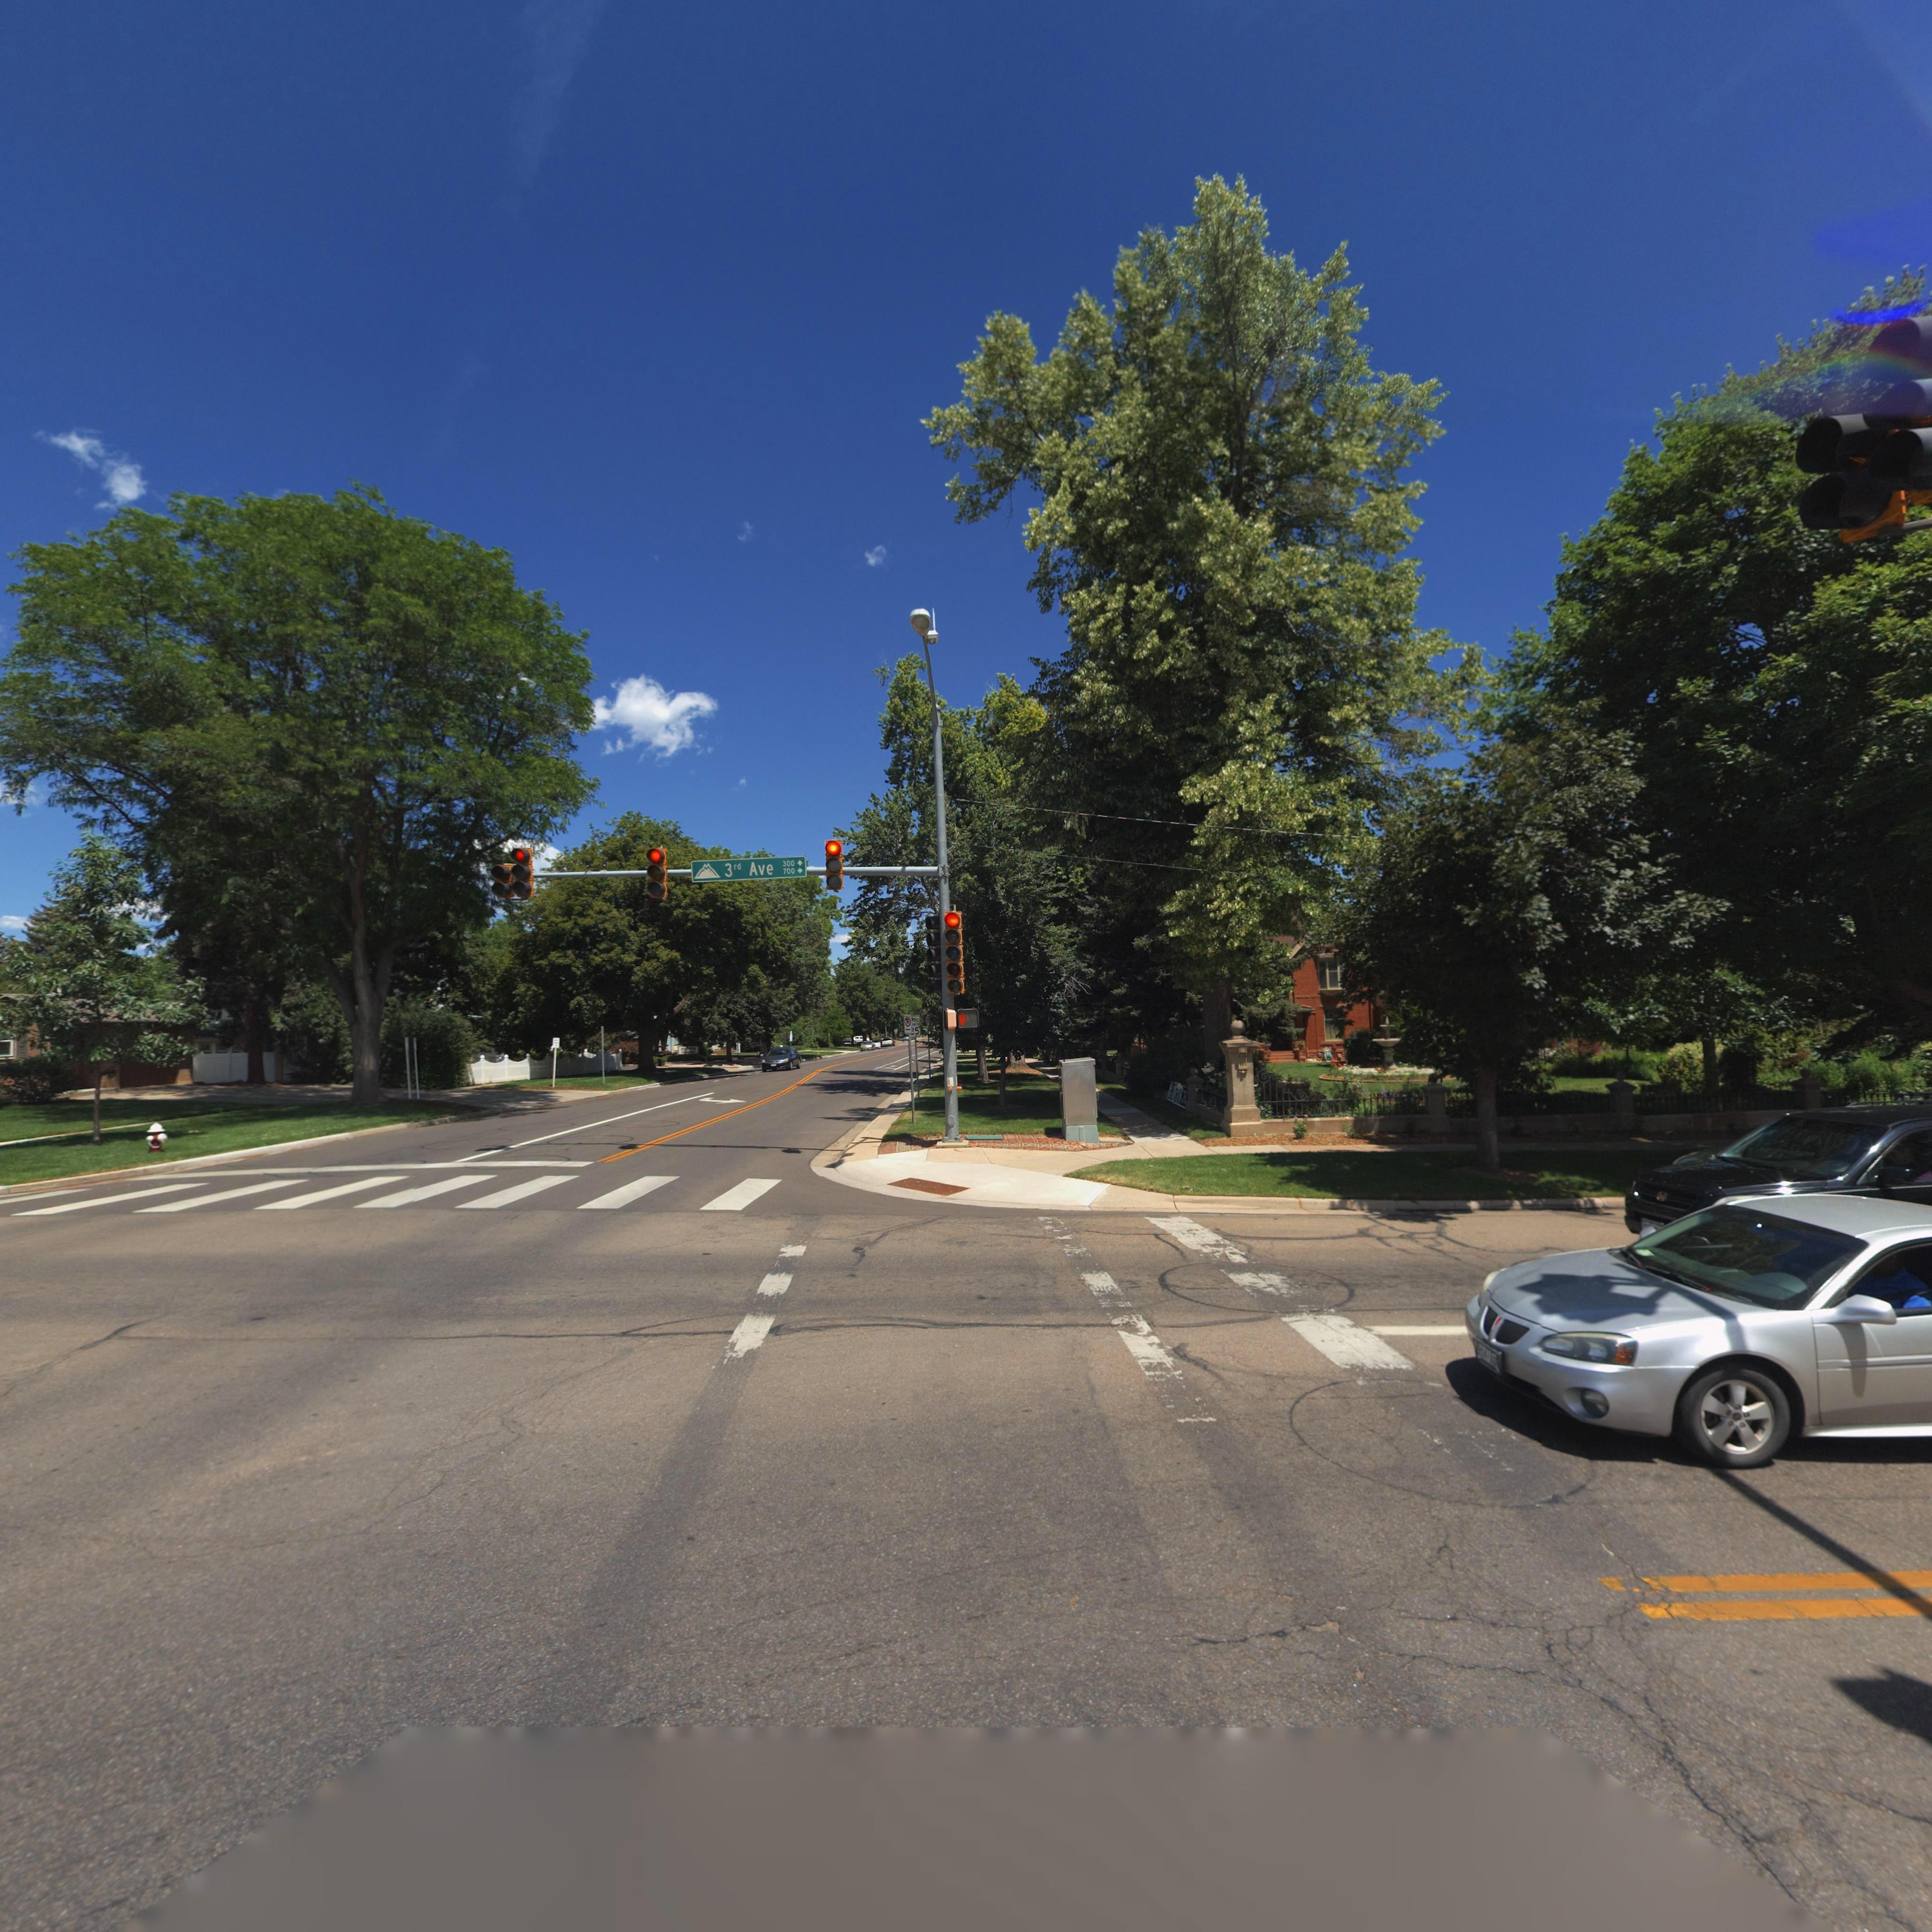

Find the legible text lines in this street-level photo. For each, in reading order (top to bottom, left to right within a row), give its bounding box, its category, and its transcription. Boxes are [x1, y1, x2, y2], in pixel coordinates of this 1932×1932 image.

[782, 860, 795, 866] StreetNumberRange: 300
[724, 861, 774, 878] StreetName: 3rd Ave
[782, 867, 803, 874] StreetNumberRange: 700->